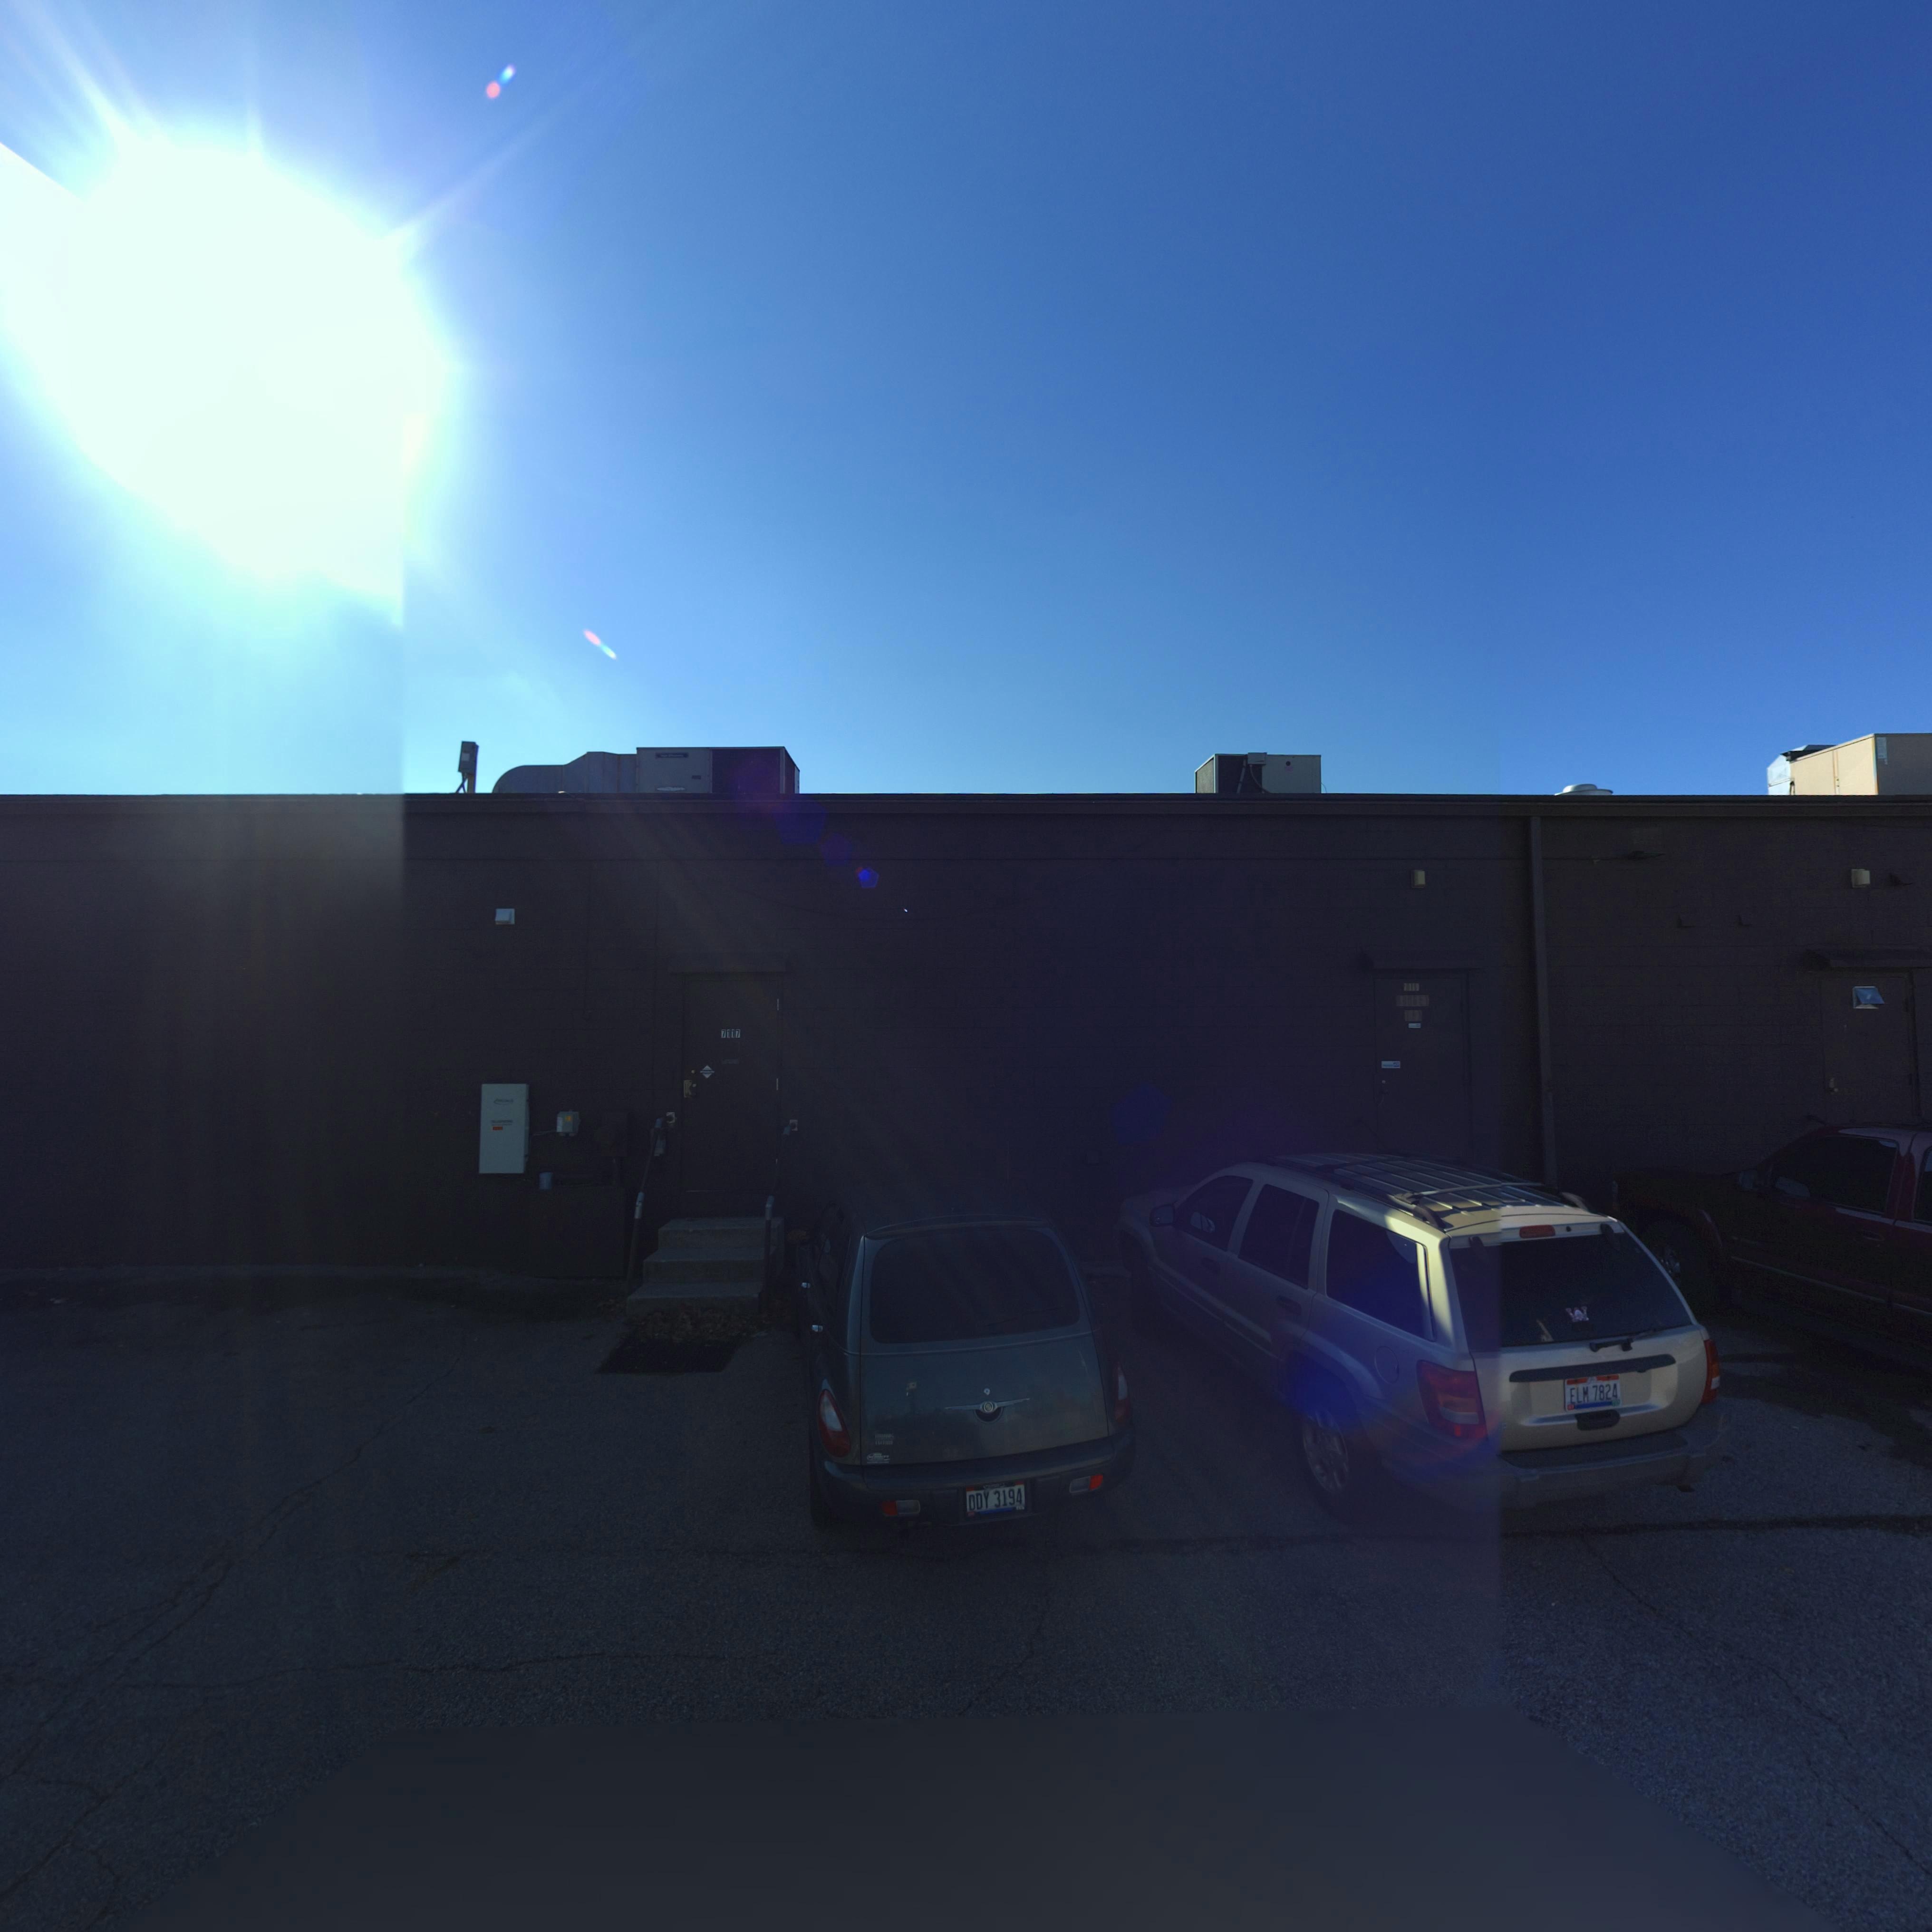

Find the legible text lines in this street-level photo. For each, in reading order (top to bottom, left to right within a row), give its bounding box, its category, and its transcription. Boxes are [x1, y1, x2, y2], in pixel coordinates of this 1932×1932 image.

[1403, 983, 1420, 991] StreetNumber: 7119
[721, 1029, 740, 1038] StreetNumber: 7117